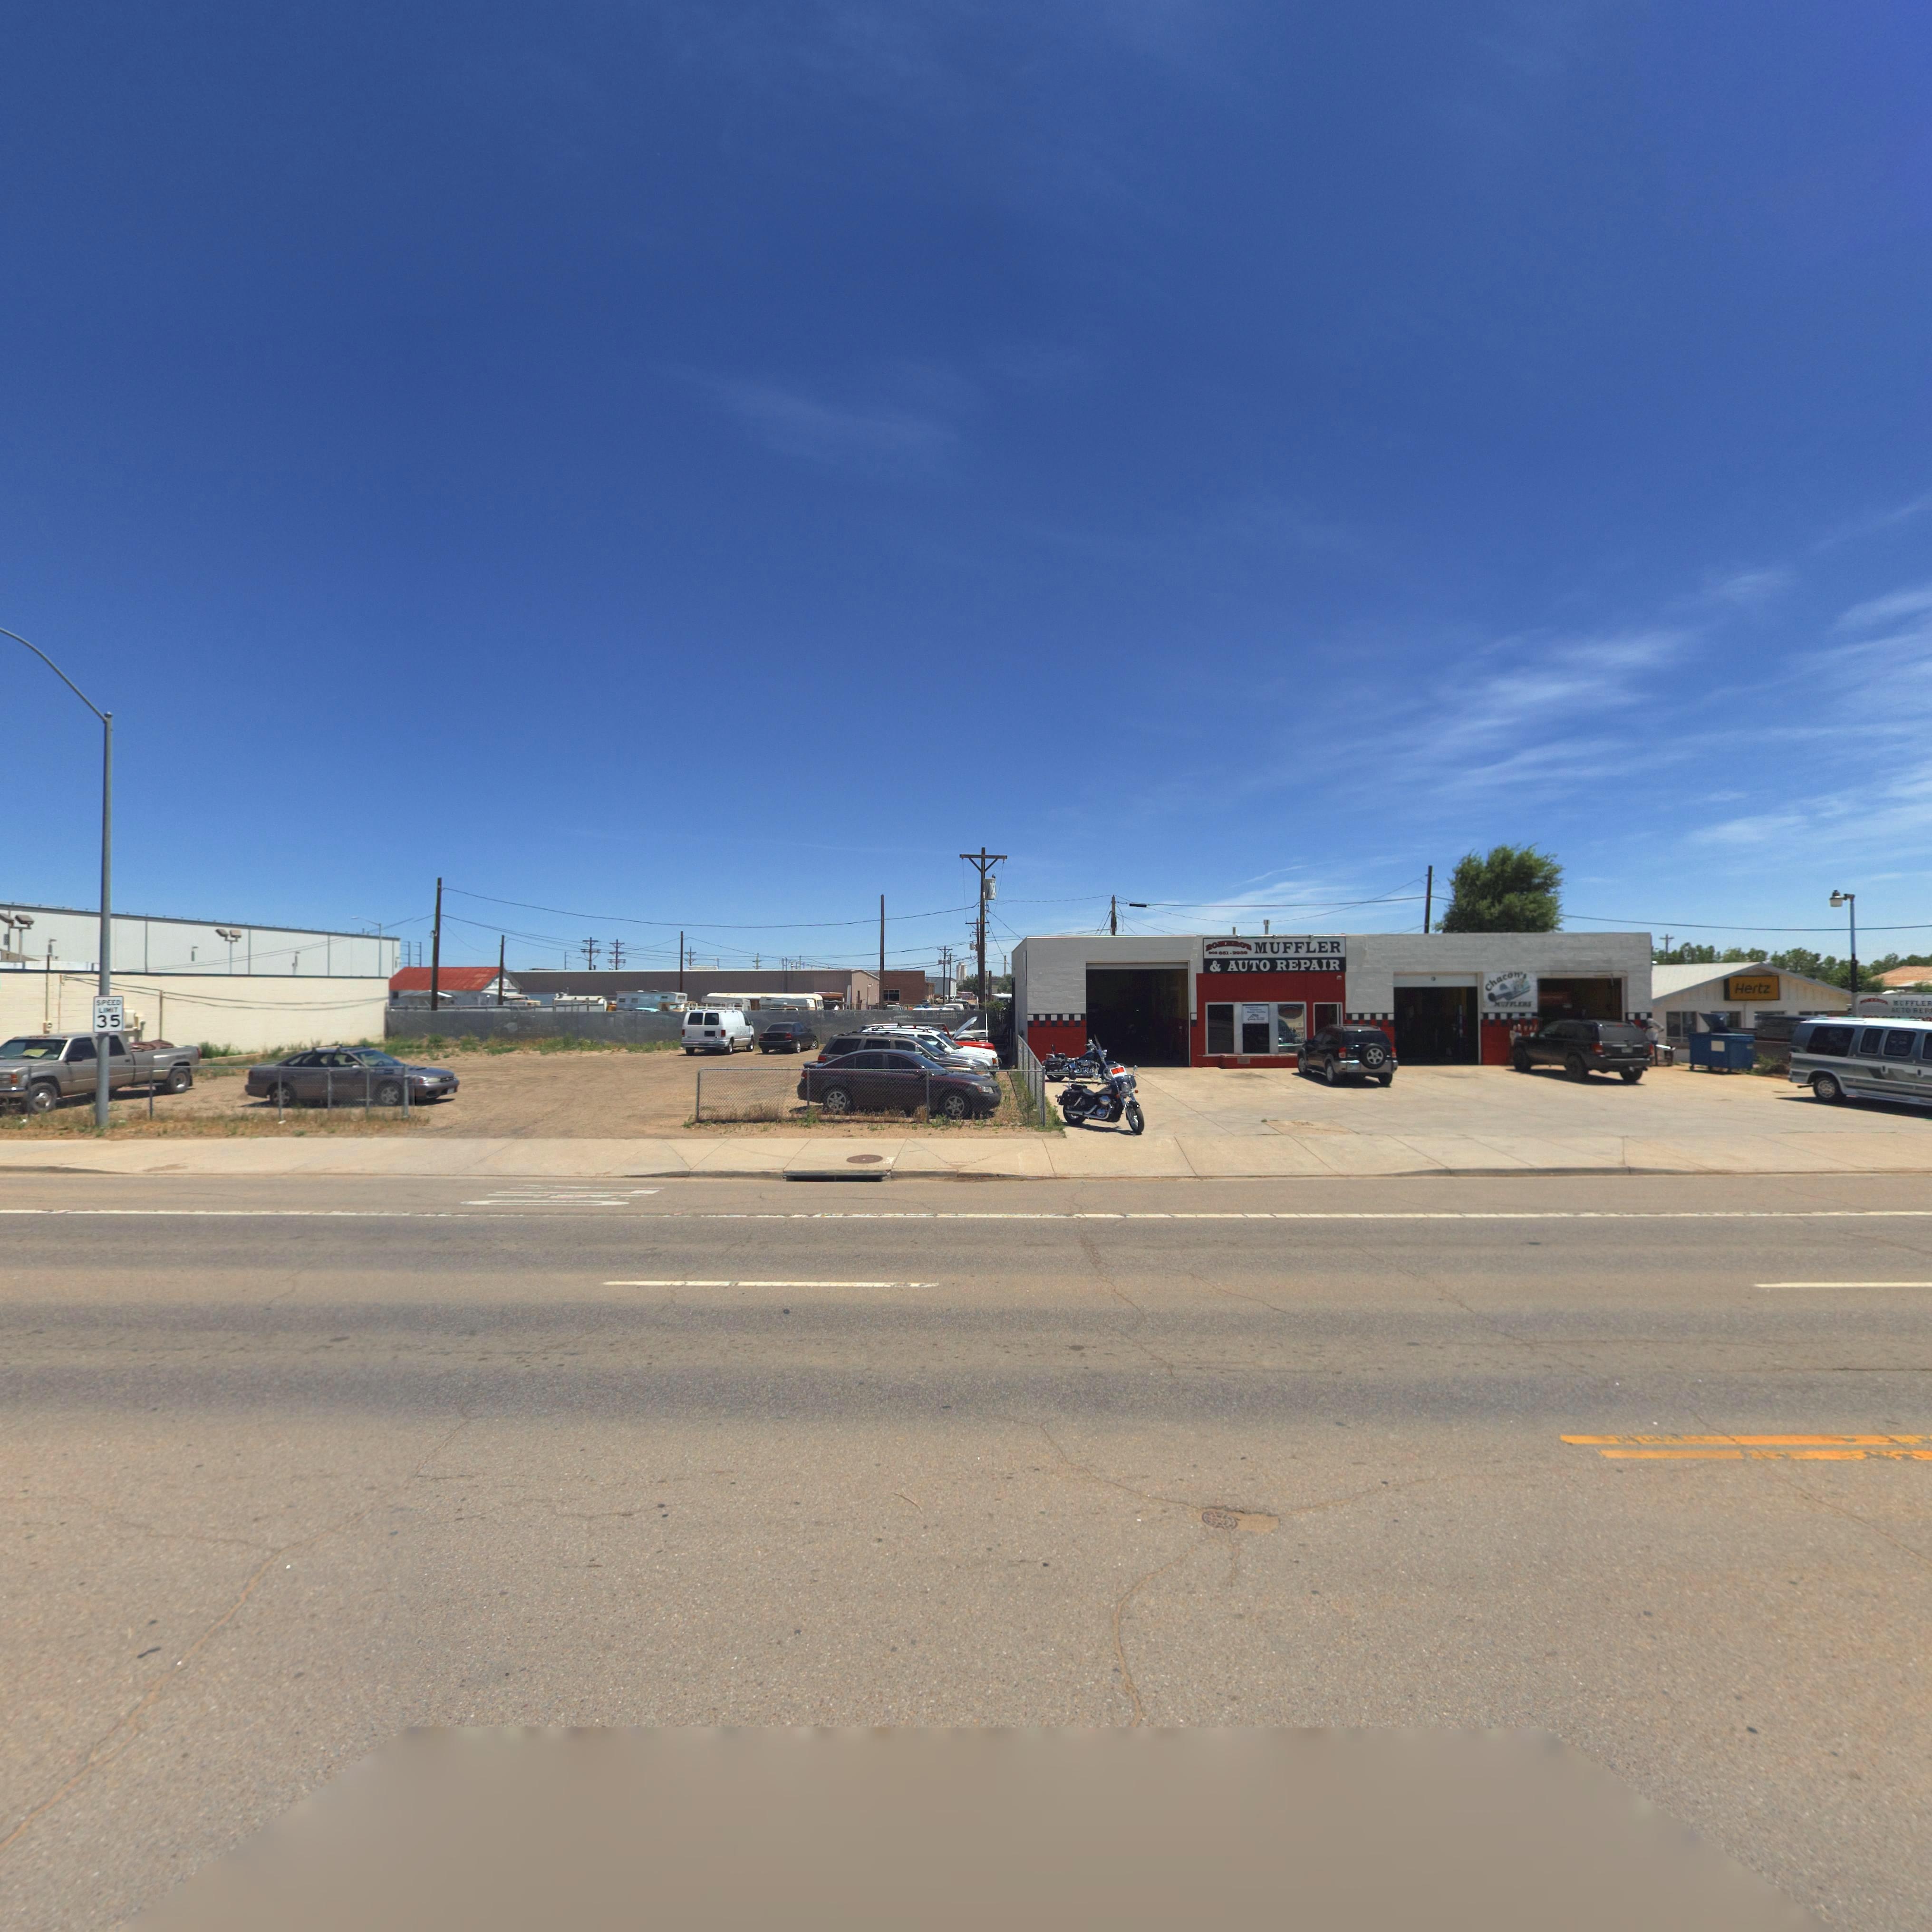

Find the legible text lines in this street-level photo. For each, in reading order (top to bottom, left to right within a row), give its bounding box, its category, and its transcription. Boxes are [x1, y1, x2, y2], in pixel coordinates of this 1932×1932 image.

[1204, 939, 1252, 952] BusinessName: ROMERO'S
[1253, 940, 1341, 954] BusinessName: MUFFLER
[1207, 959, 1341, 973] BusinessName: * AUTO REPAIR
[1483, 971, 1528, 992] BusinessName: Chacon's
[1734, 982, 1771, 994] BusinessName: Hertz
[1494, 1001, 1531, 1007] BusinessName: MUFFLERS